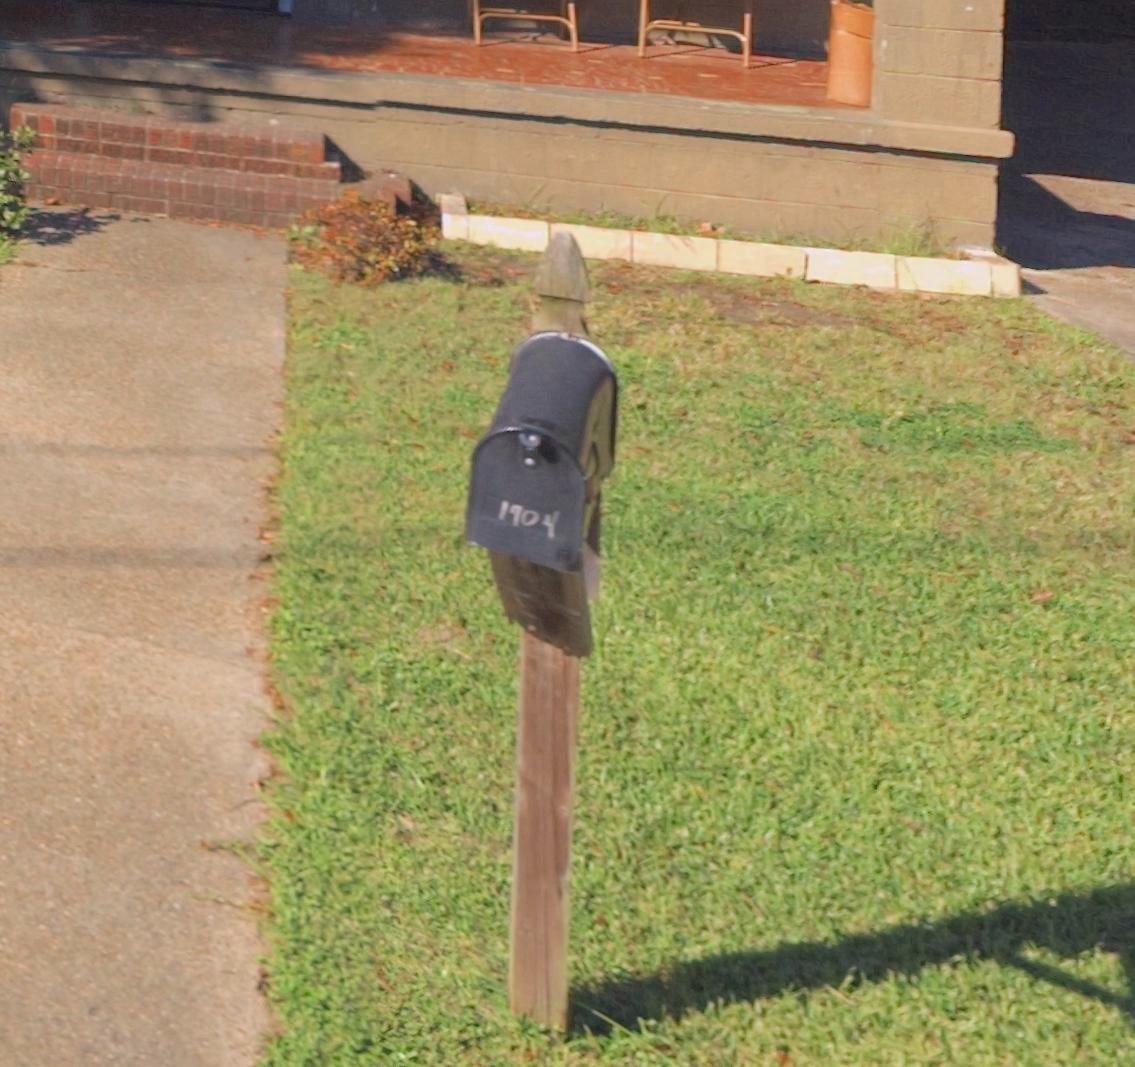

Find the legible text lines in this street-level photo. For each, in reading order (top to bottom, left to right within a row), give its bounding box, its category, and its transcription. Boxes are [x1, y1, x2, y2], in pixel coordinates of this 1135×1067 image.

[493, 495, 568, 546] StreetNumber: 1904